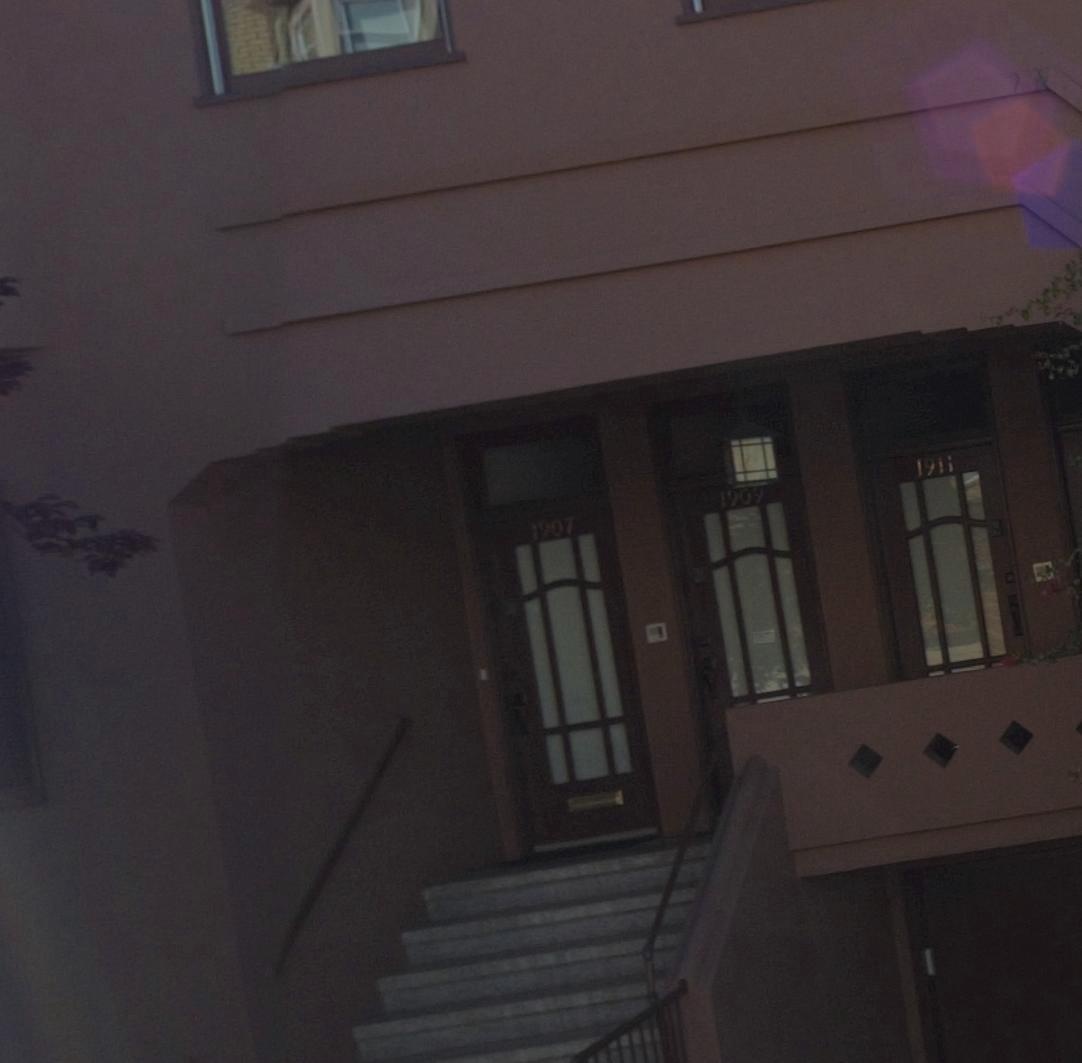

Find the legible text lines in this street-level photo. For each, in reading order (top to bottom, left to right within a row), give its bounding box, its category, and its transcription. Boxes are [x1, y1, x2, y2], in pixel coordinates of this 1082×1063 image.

[913, 452, 955, 479] StreetNumber: 1911
[718, 482, 767, 511] StreetNumber: 1909
[528, 513, 575, 545] StreetNumber: 1907